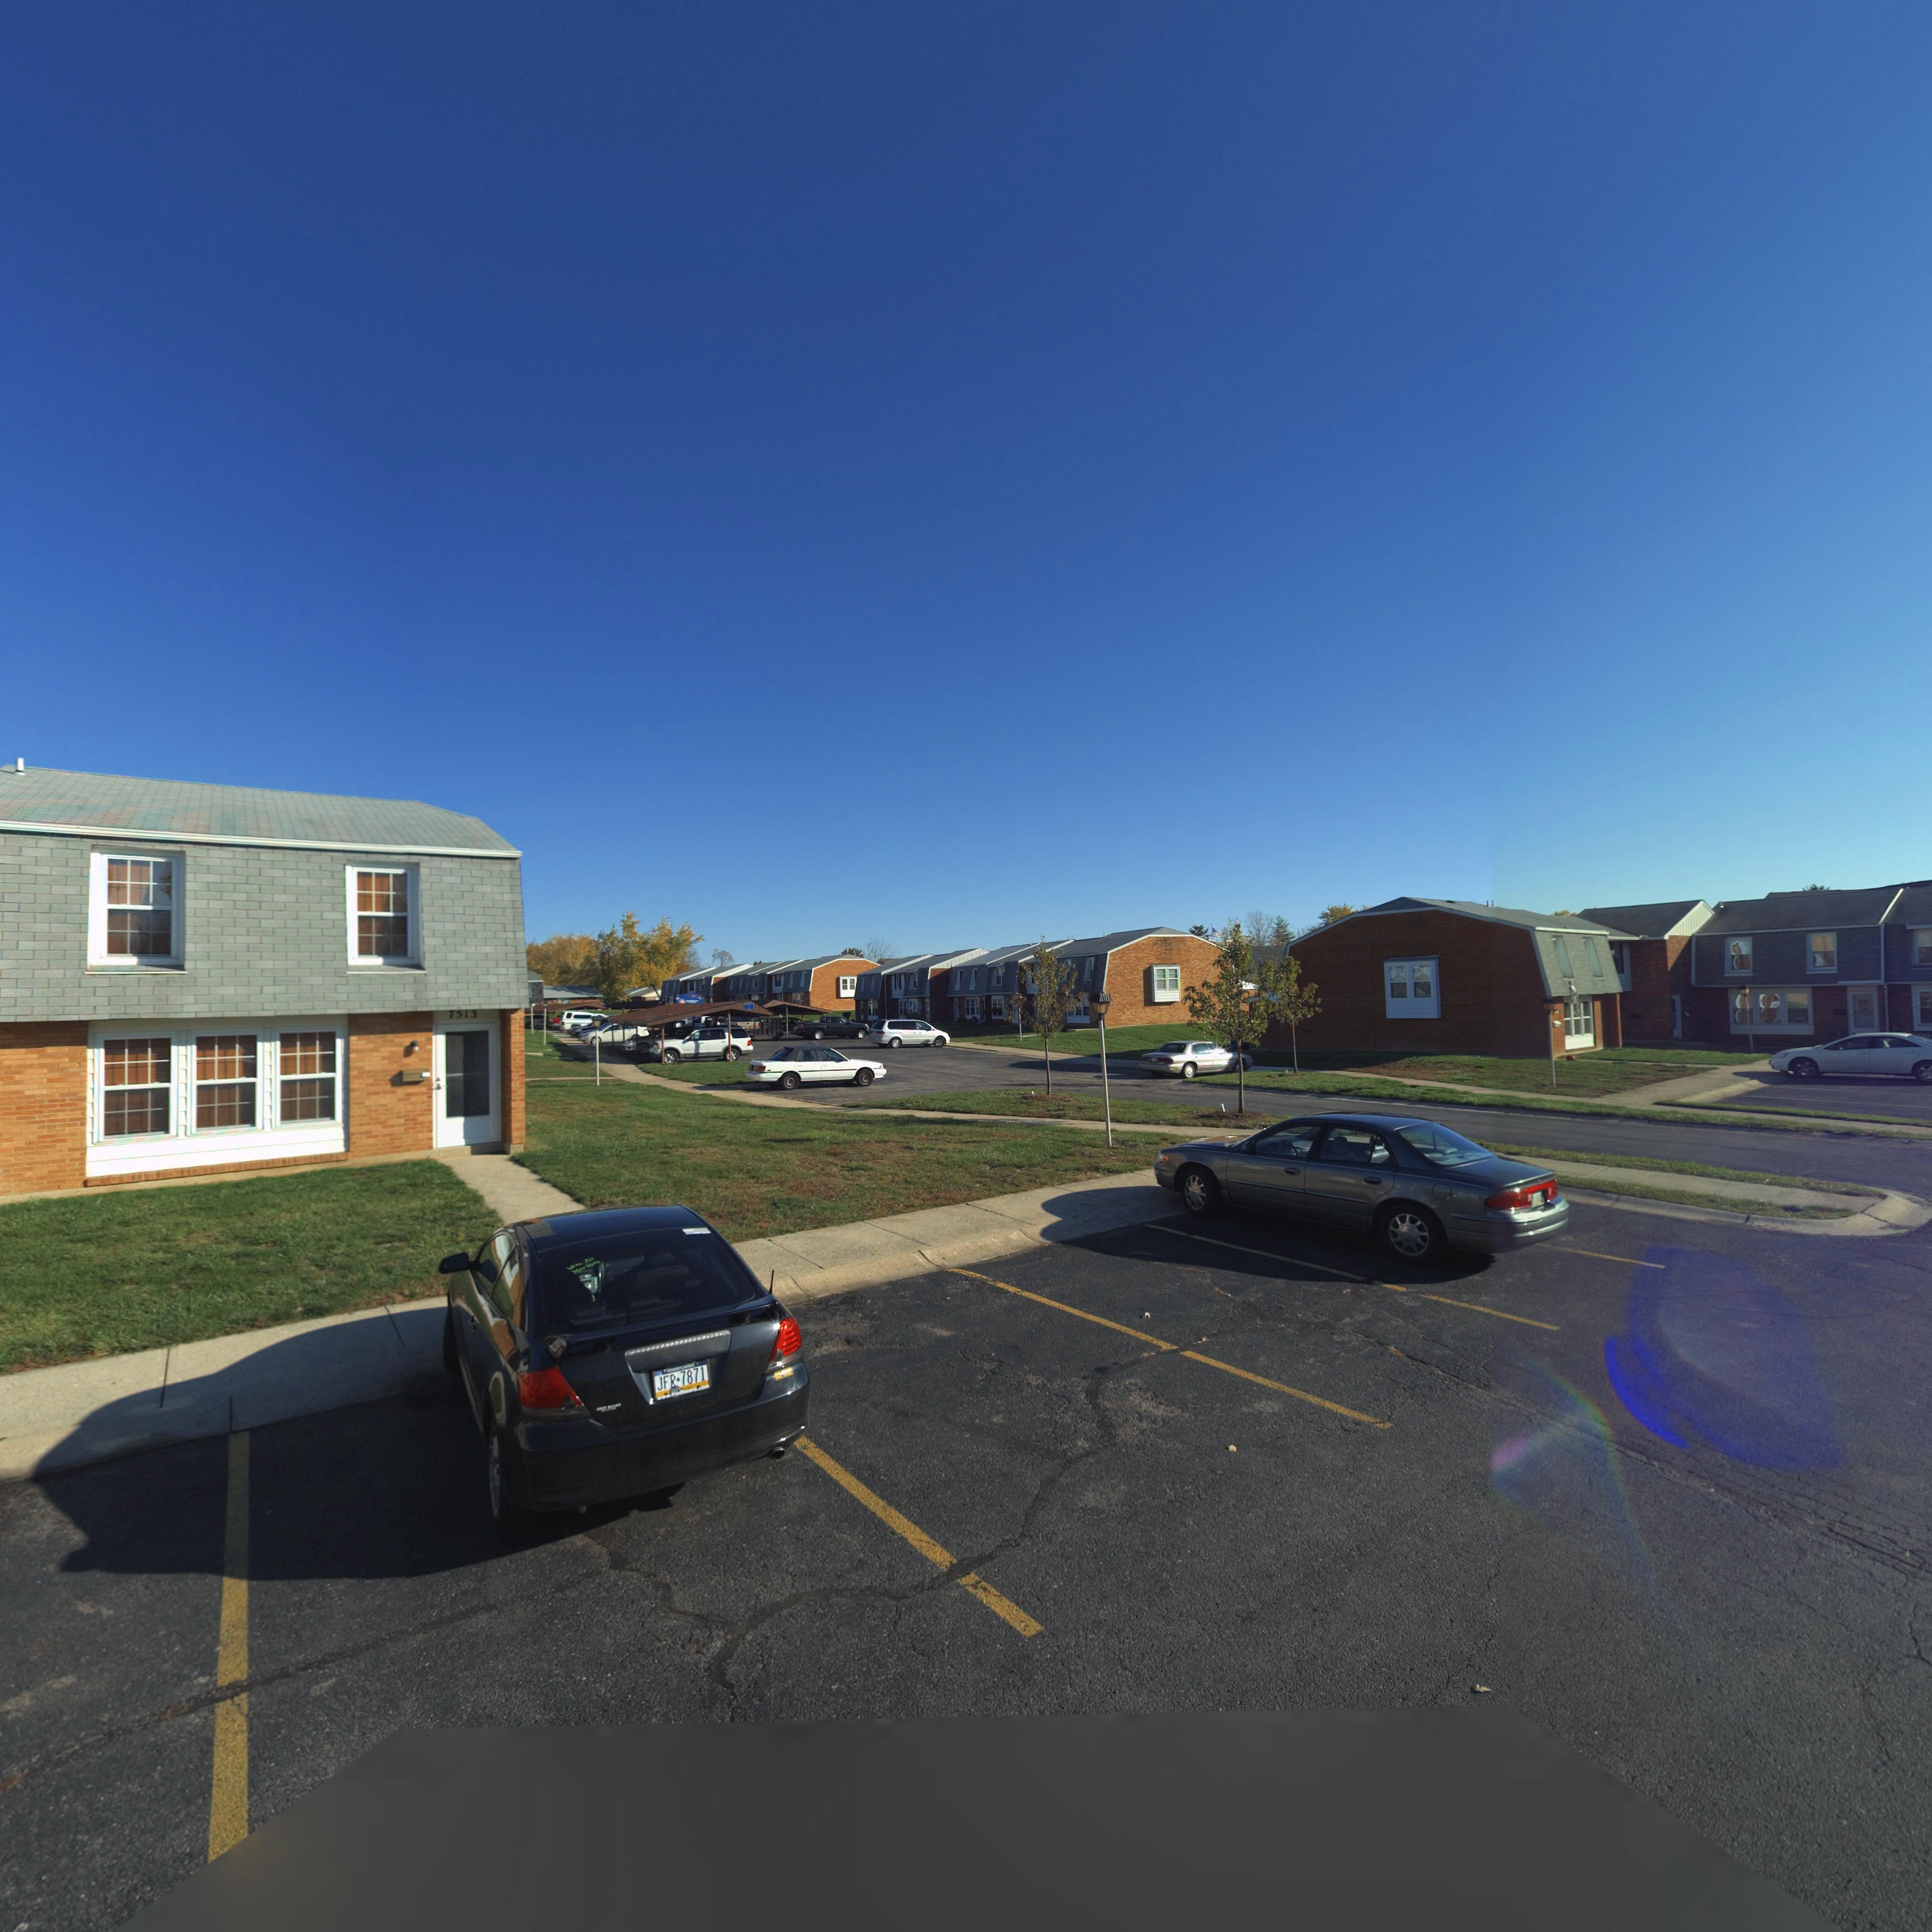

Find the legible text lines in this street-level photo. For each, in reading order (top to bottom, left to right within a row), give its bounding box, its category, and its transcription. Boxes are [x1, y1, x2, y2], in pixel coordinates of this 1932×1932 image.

[448, 1009, 478, 1019] StreetNumber: 7513